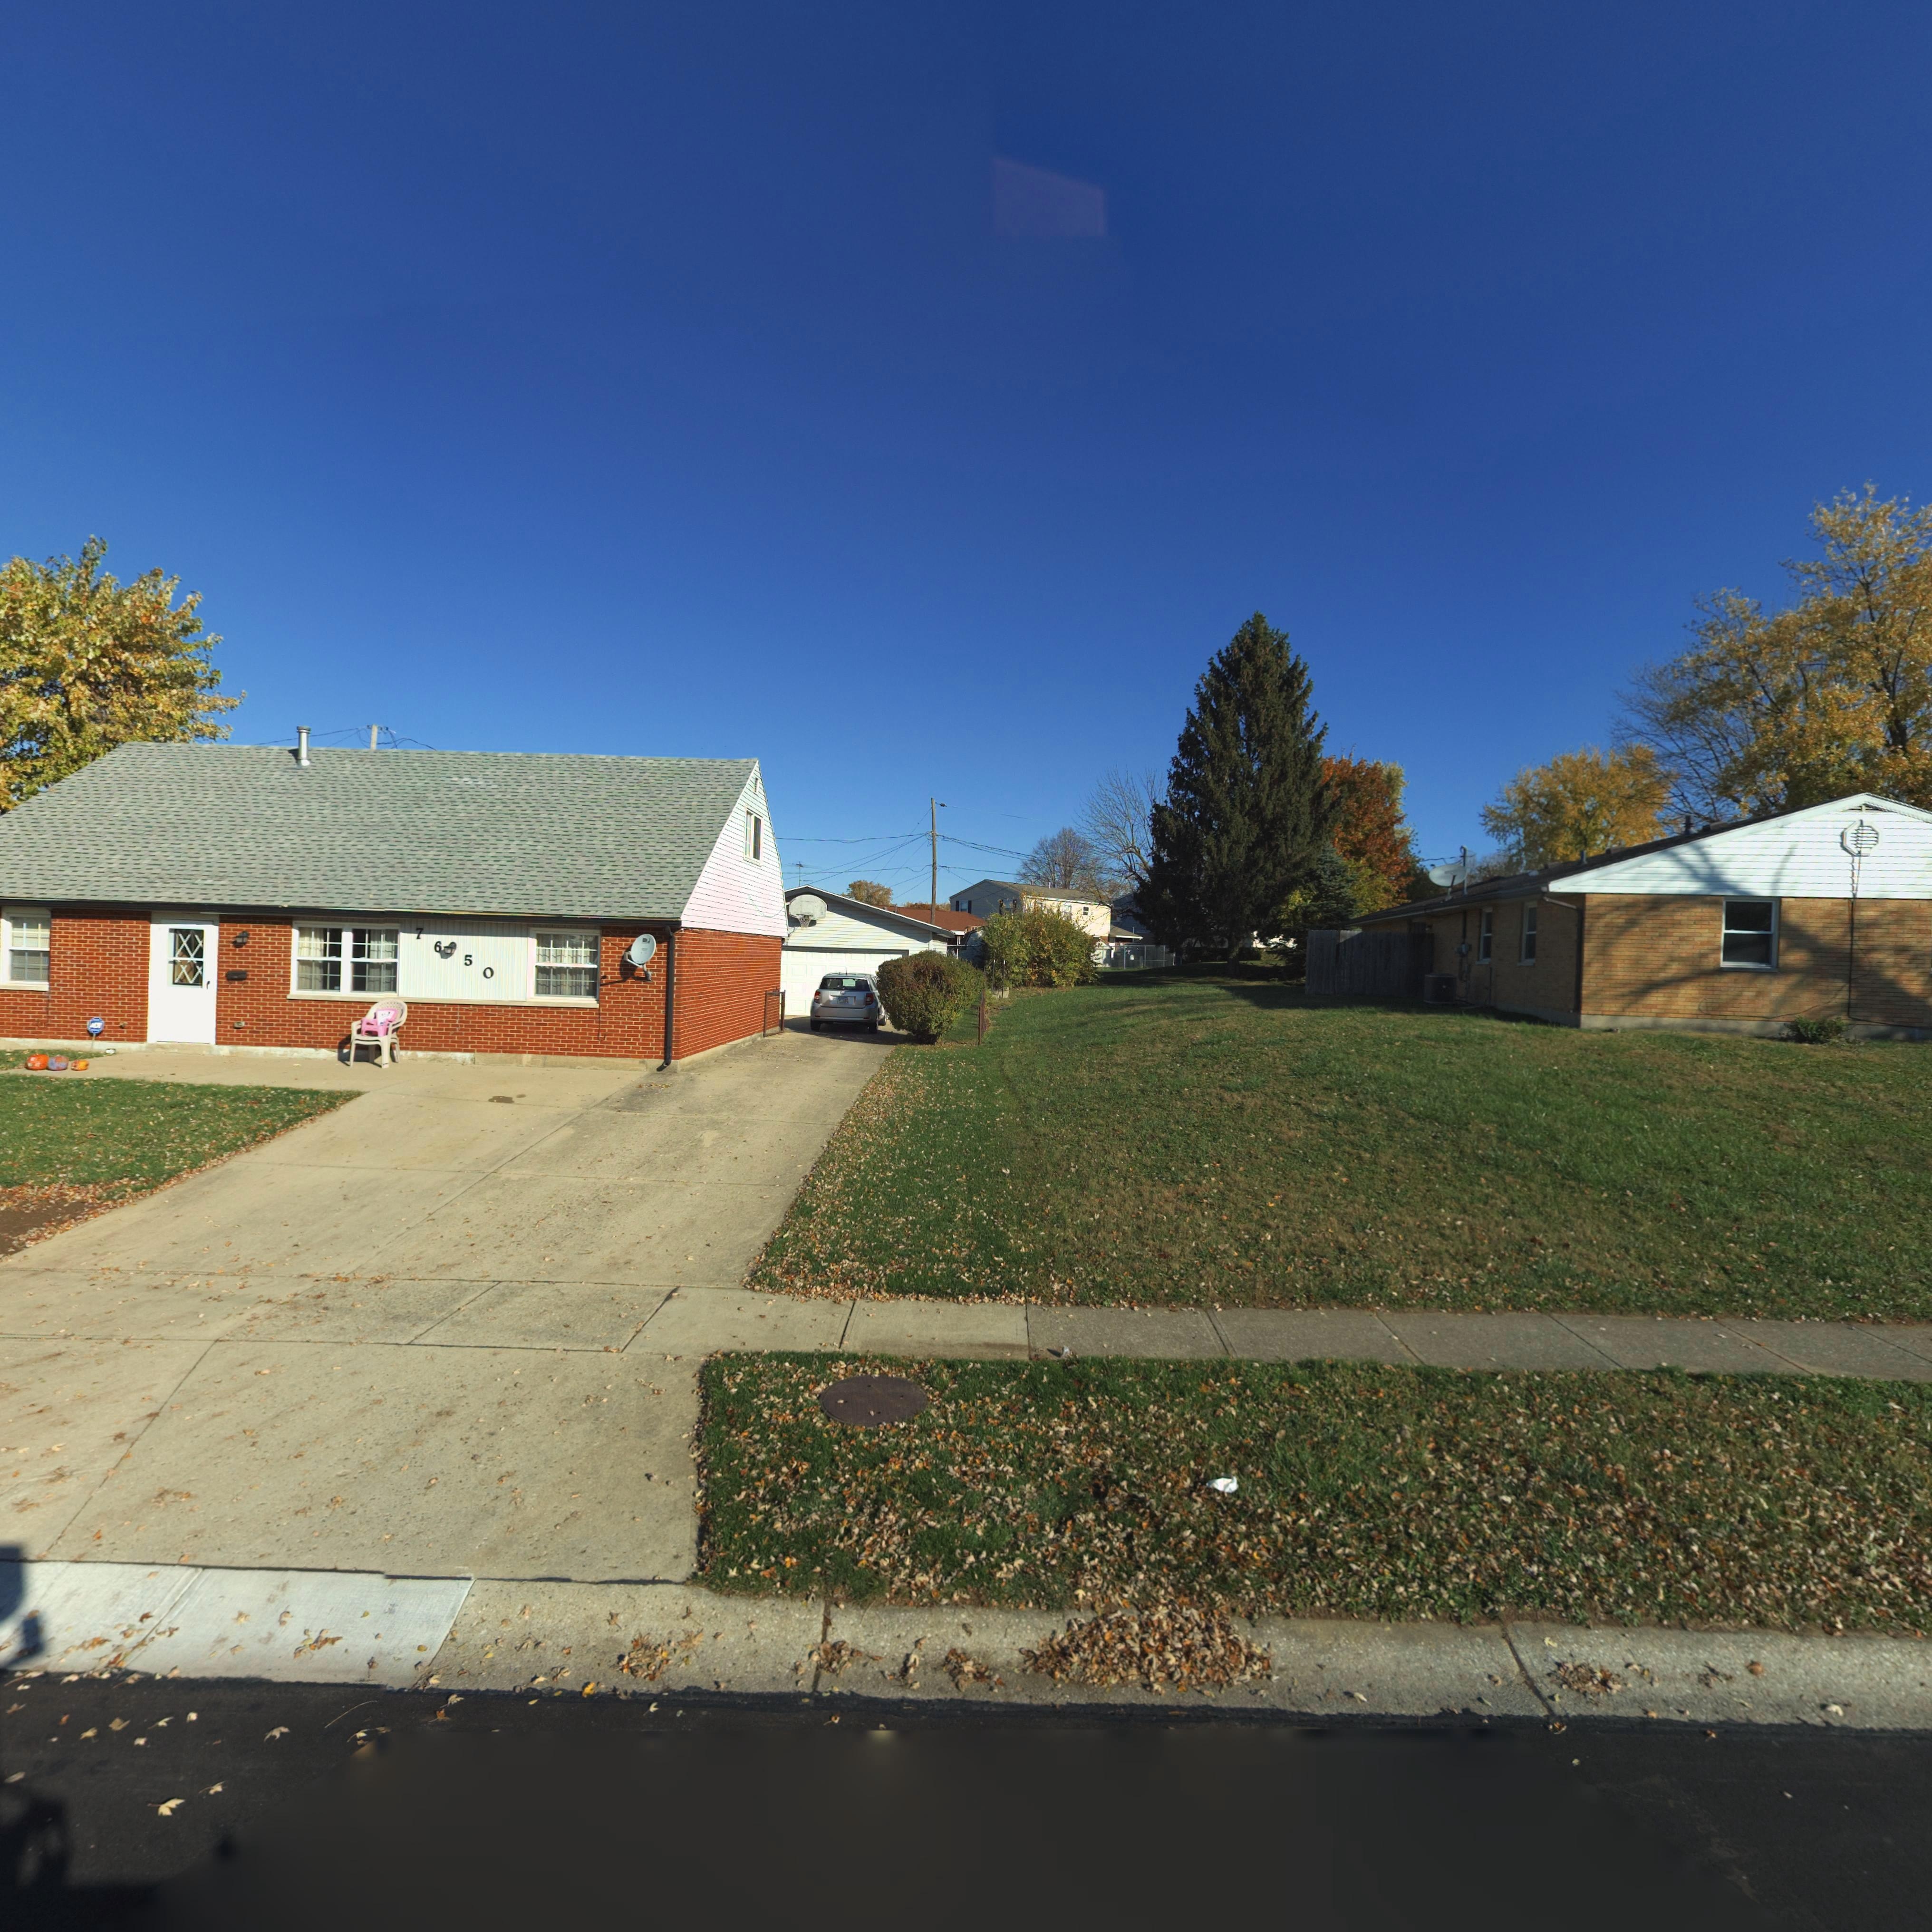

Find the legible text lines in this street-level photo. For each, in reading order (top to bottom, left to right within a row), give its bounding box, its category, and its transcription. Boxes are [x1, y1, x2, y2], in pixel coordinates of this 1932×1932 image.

[415, 927, 496, 982] StreetNumber: 76*50